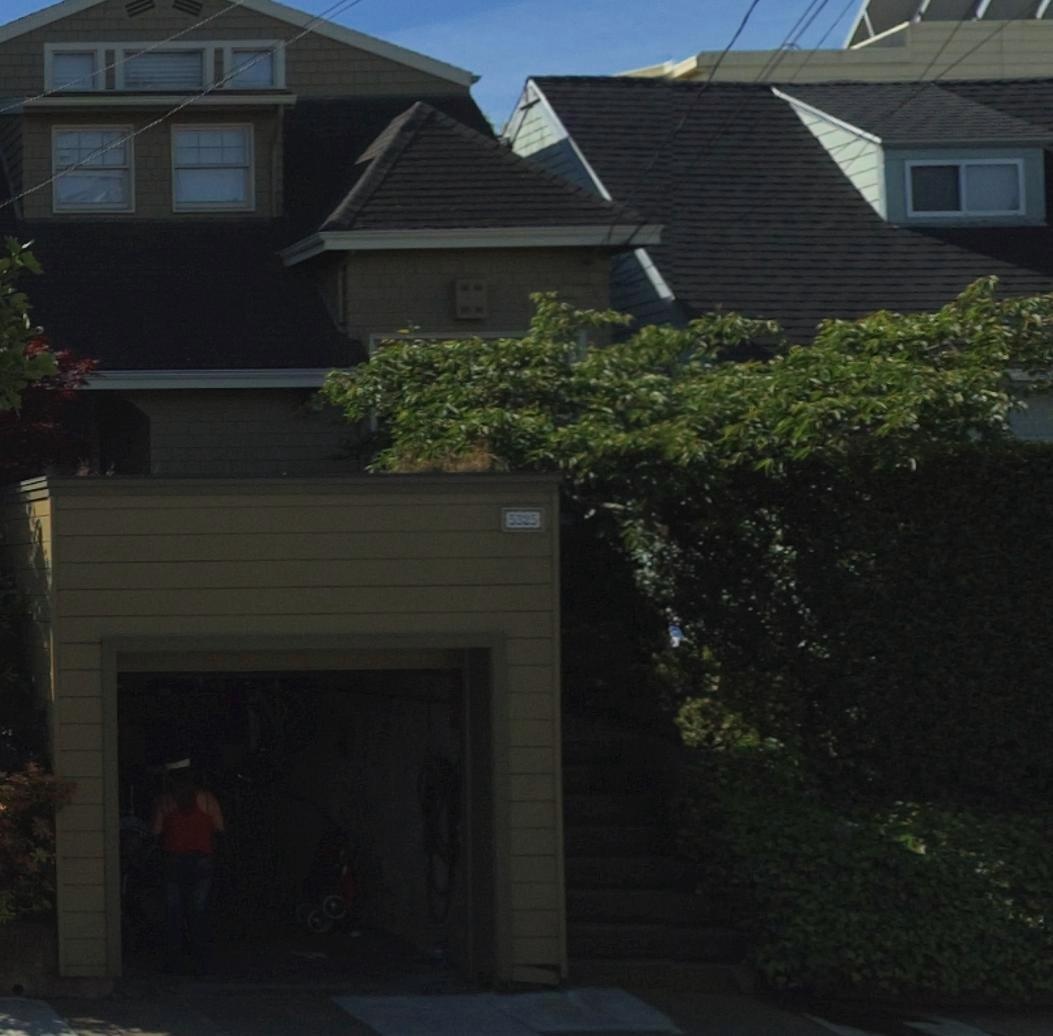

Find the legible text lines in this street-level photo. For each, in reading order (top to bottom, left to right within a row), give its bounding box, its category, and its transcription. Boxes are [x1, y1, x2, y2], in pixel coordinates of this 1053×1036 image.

[508, 511, 539, 527] StreetNumber: 5325